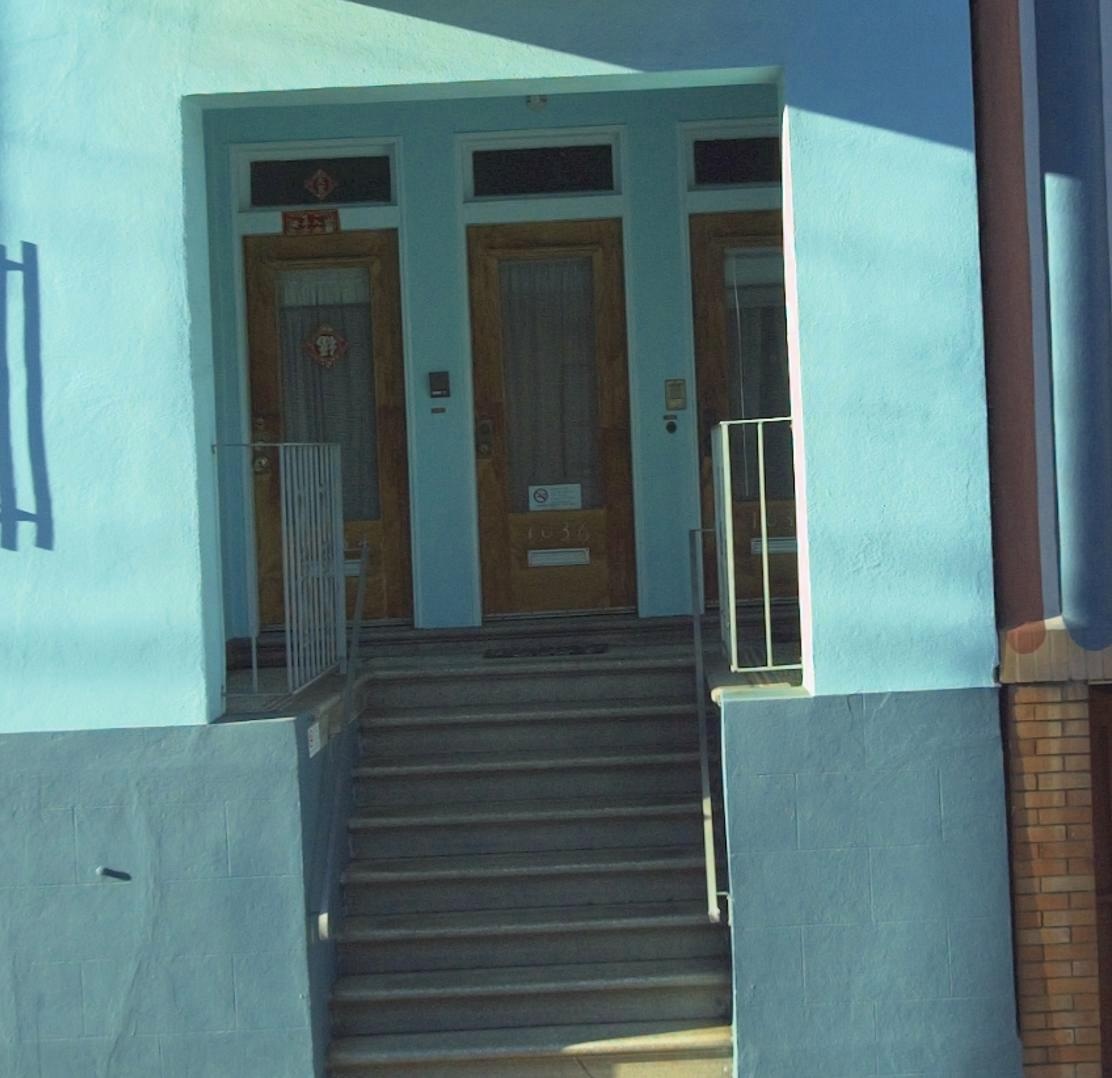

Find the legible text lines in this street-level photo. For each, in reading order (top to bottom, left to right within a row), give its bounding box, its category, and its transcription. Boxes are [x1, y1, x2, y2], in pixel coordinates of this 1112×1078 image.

[523, 516, 592, 546] StreetNumber: 1036